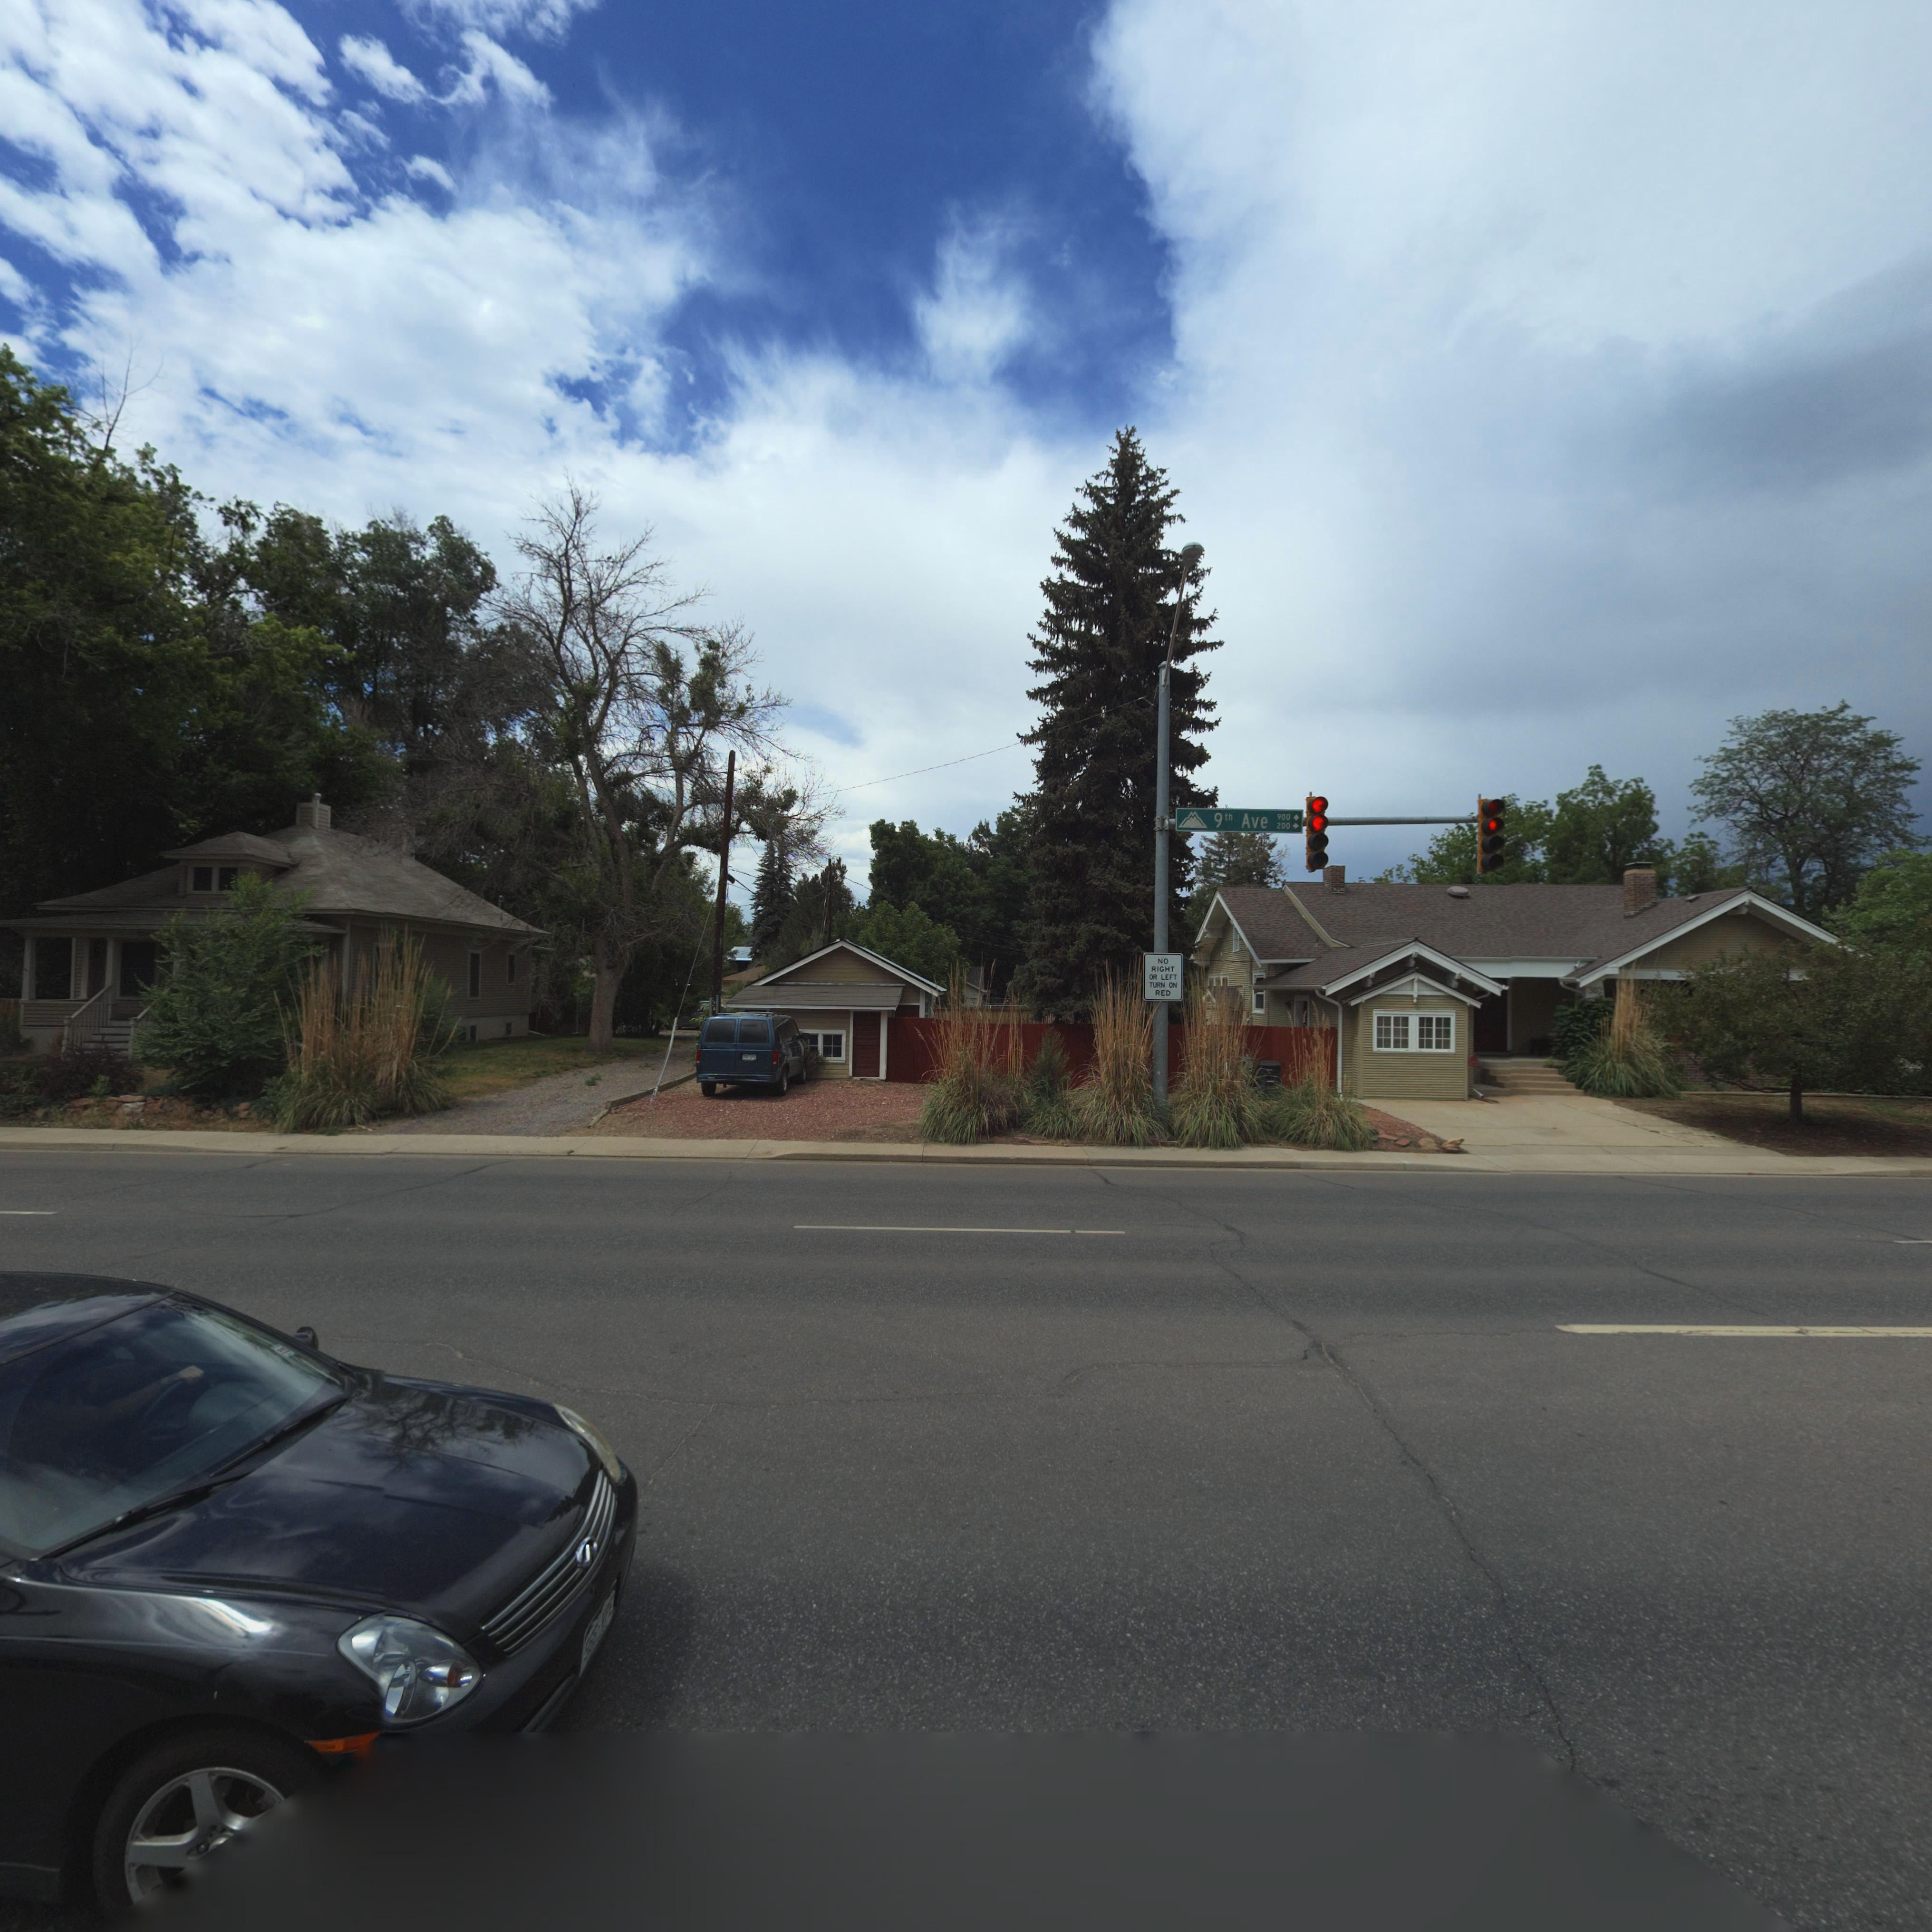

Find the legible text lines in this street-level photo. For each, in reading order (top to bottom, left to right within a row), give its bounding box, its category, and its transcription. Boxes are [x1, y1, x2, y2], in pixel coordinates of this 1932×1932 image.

[1213, 812, 1268, 829] StreetName: 9th Ave
[1276, 813, 1290, 821] StreetNumberRange: 900
[1276, 821, 1299, 829] StreetNumberRange: 200->
[1587, 985, 1604, 994] StreetNumber: 302